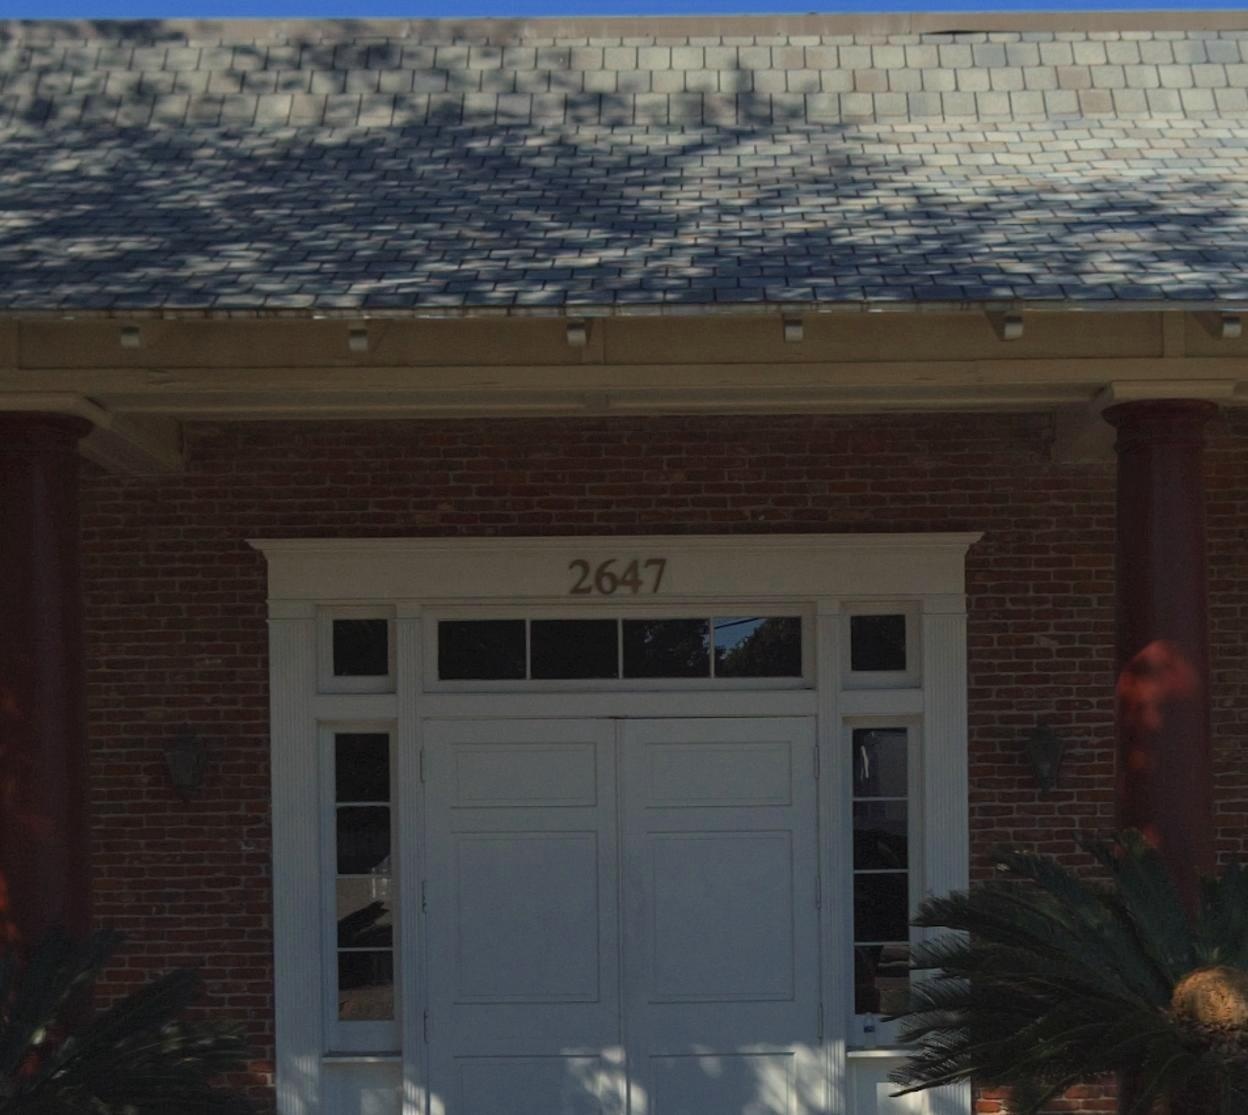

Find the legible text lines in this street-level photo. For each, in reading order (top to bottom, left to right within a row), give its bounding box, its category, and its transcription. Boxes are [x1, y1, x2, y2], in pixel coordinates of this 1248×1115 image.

[564, 555, 671, 599] StreetNumber: 2647